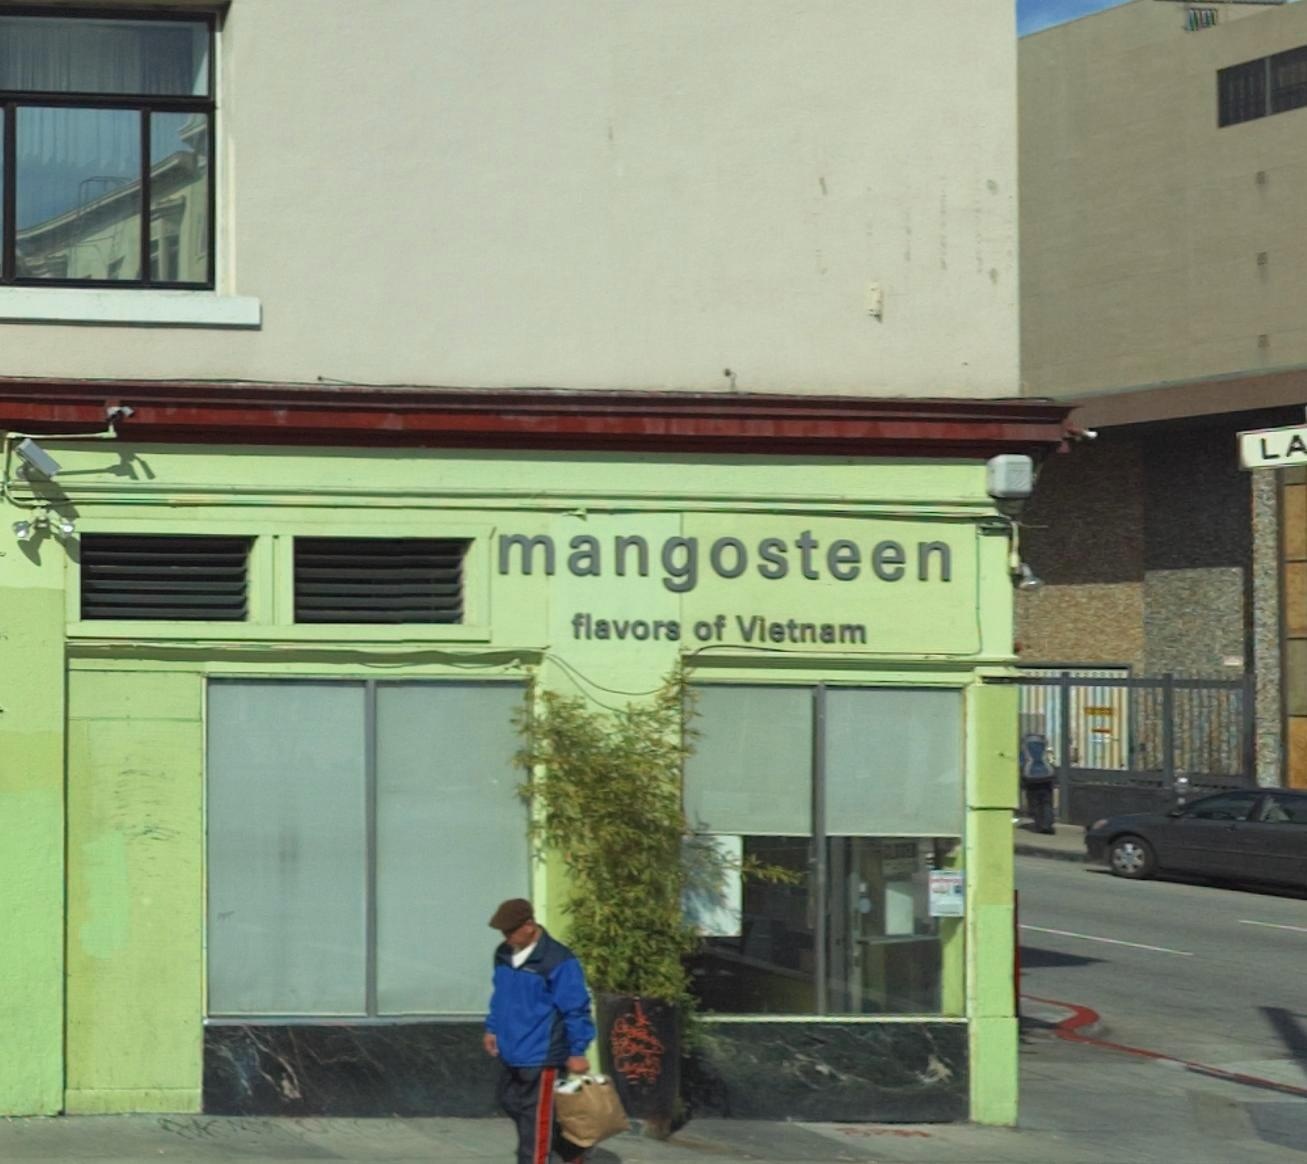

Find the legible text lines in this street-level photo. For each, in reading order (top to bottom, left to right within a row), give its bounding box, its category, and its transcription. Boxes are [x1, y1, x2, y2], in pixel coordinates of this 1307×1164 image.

[1257, 435, 1283, 464] StreetName: L
[493, 526, 958, 595] BusinessName: mangosteen
[565, 609, 873, 651] None: flavors of Vietnam